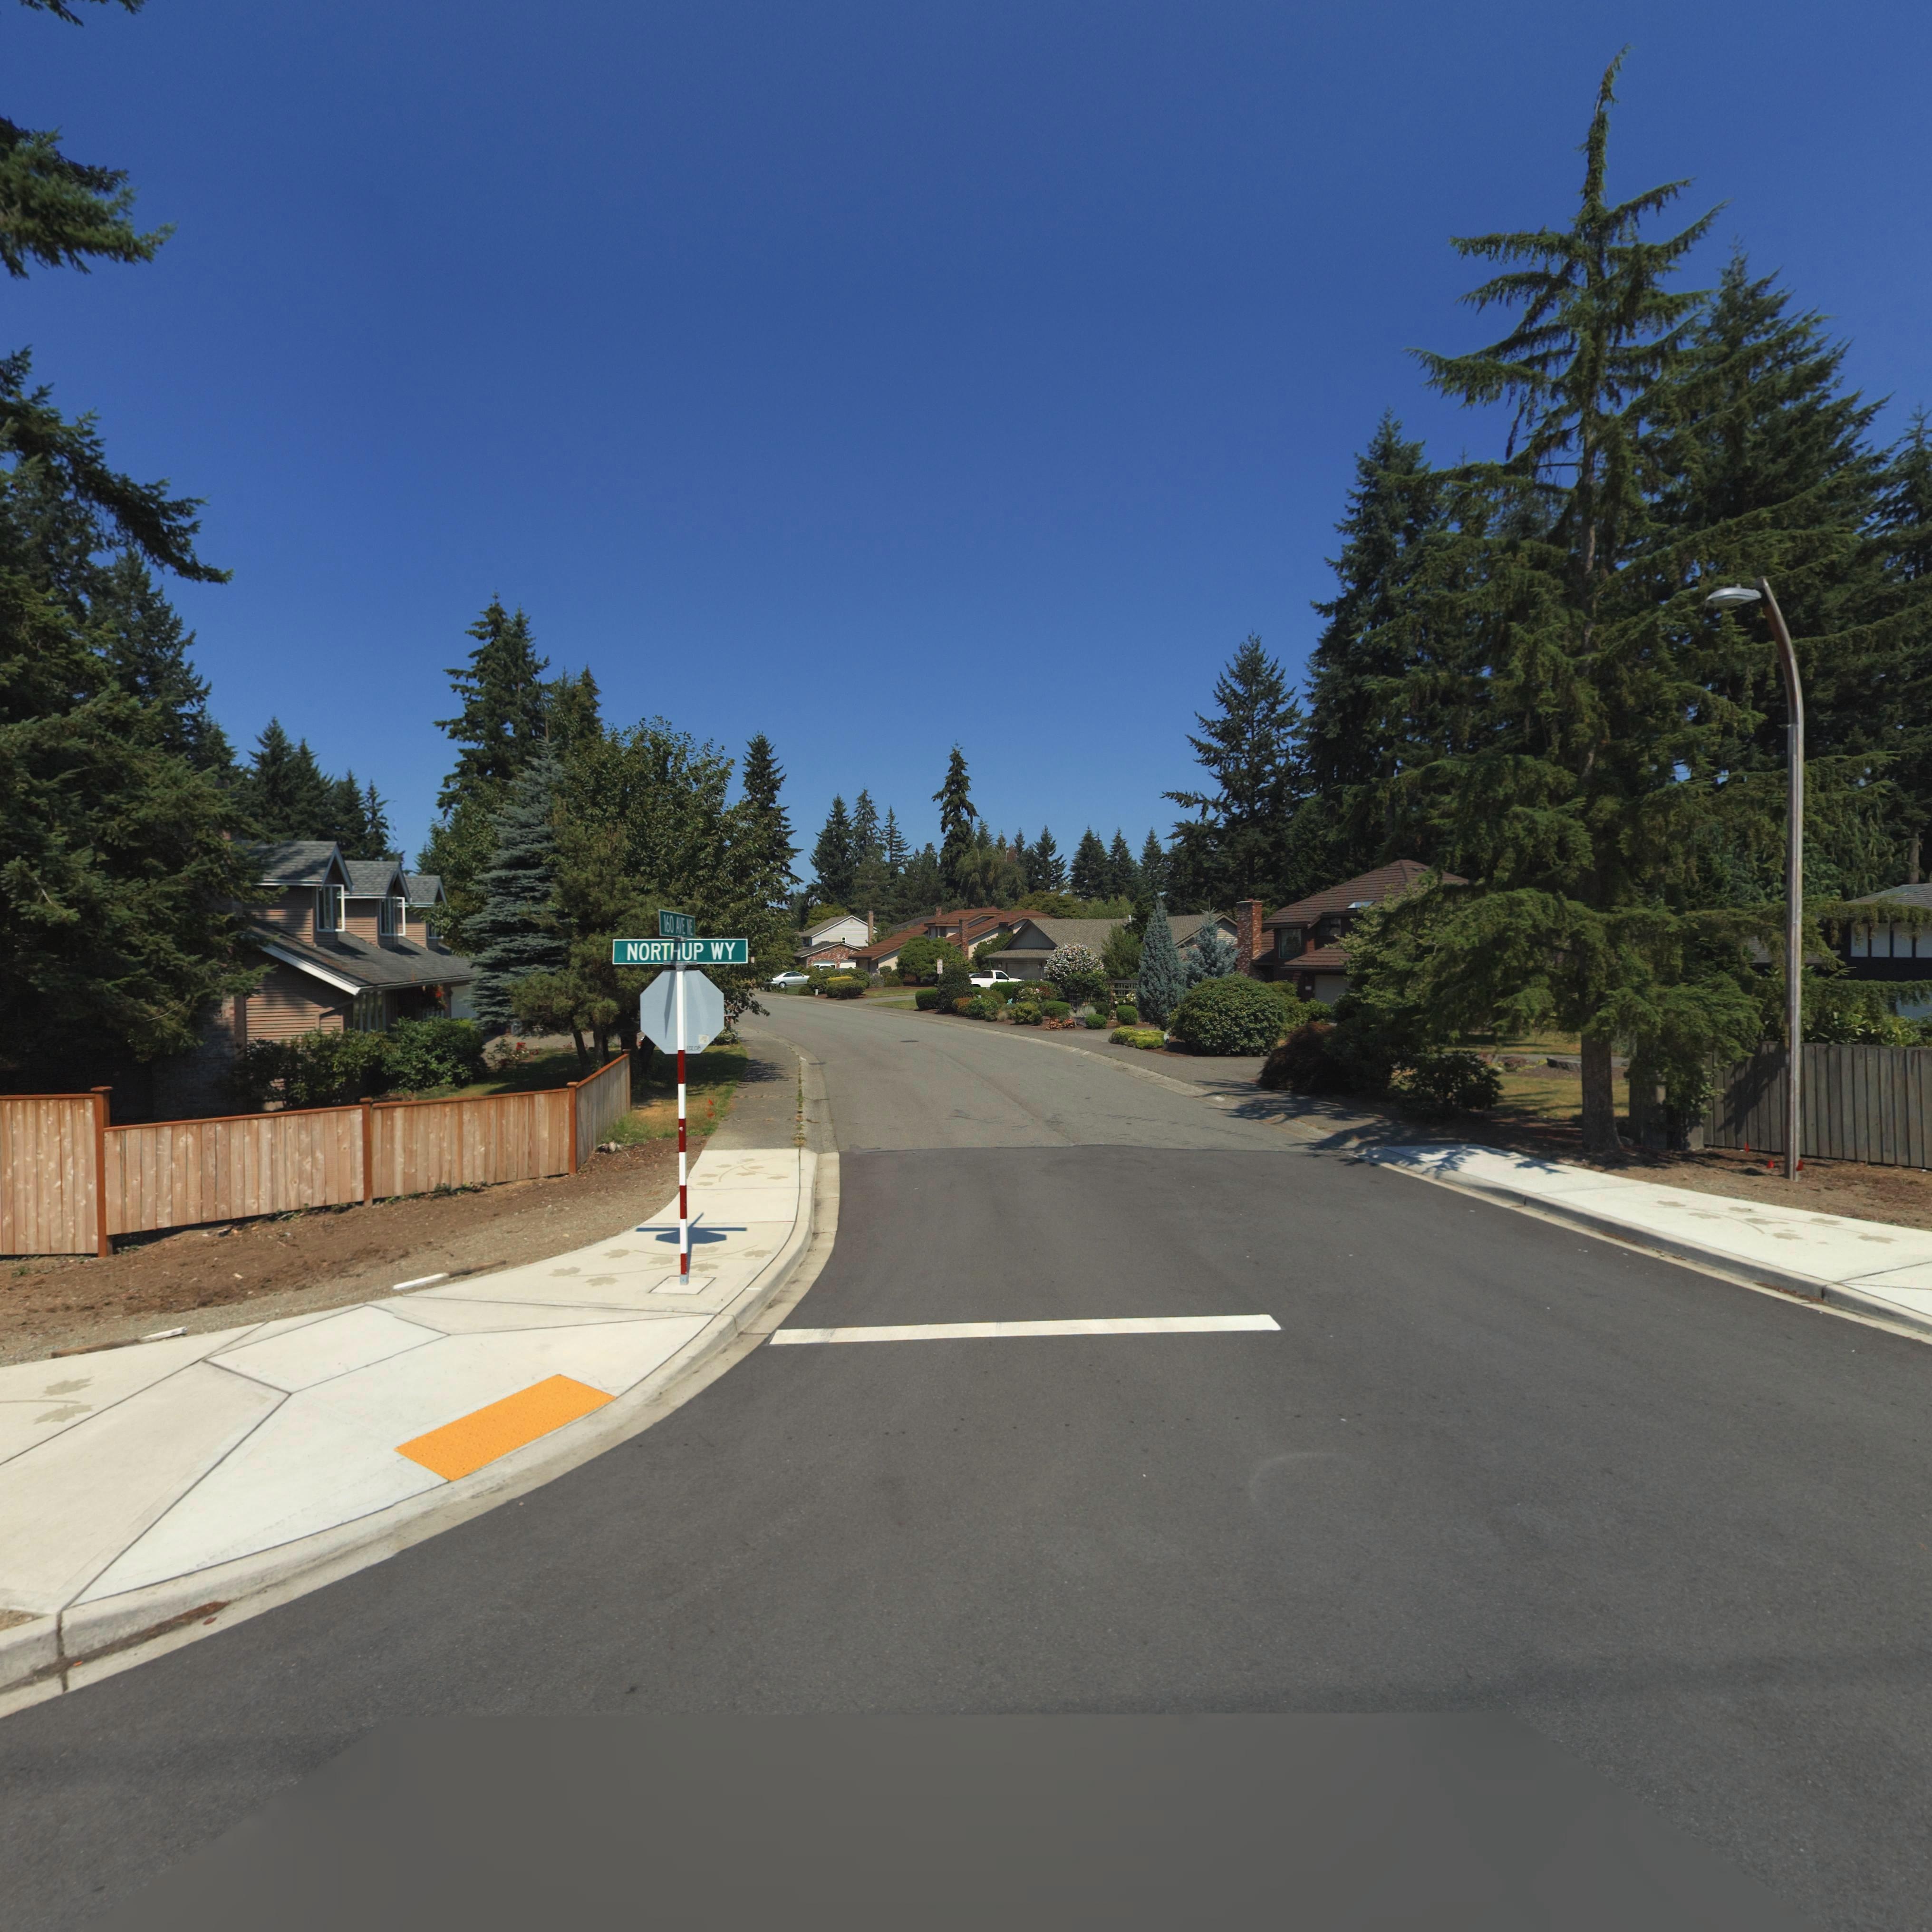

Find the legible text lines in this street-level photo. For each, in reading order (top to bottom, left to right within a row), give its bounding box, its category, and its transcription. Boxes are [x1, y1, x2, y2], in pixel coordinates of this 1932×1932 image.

[663, 912, 693, 937] StreetName: 160 AVE NE
[627, 943, 734, 960] StreetName: NORTHUP WY